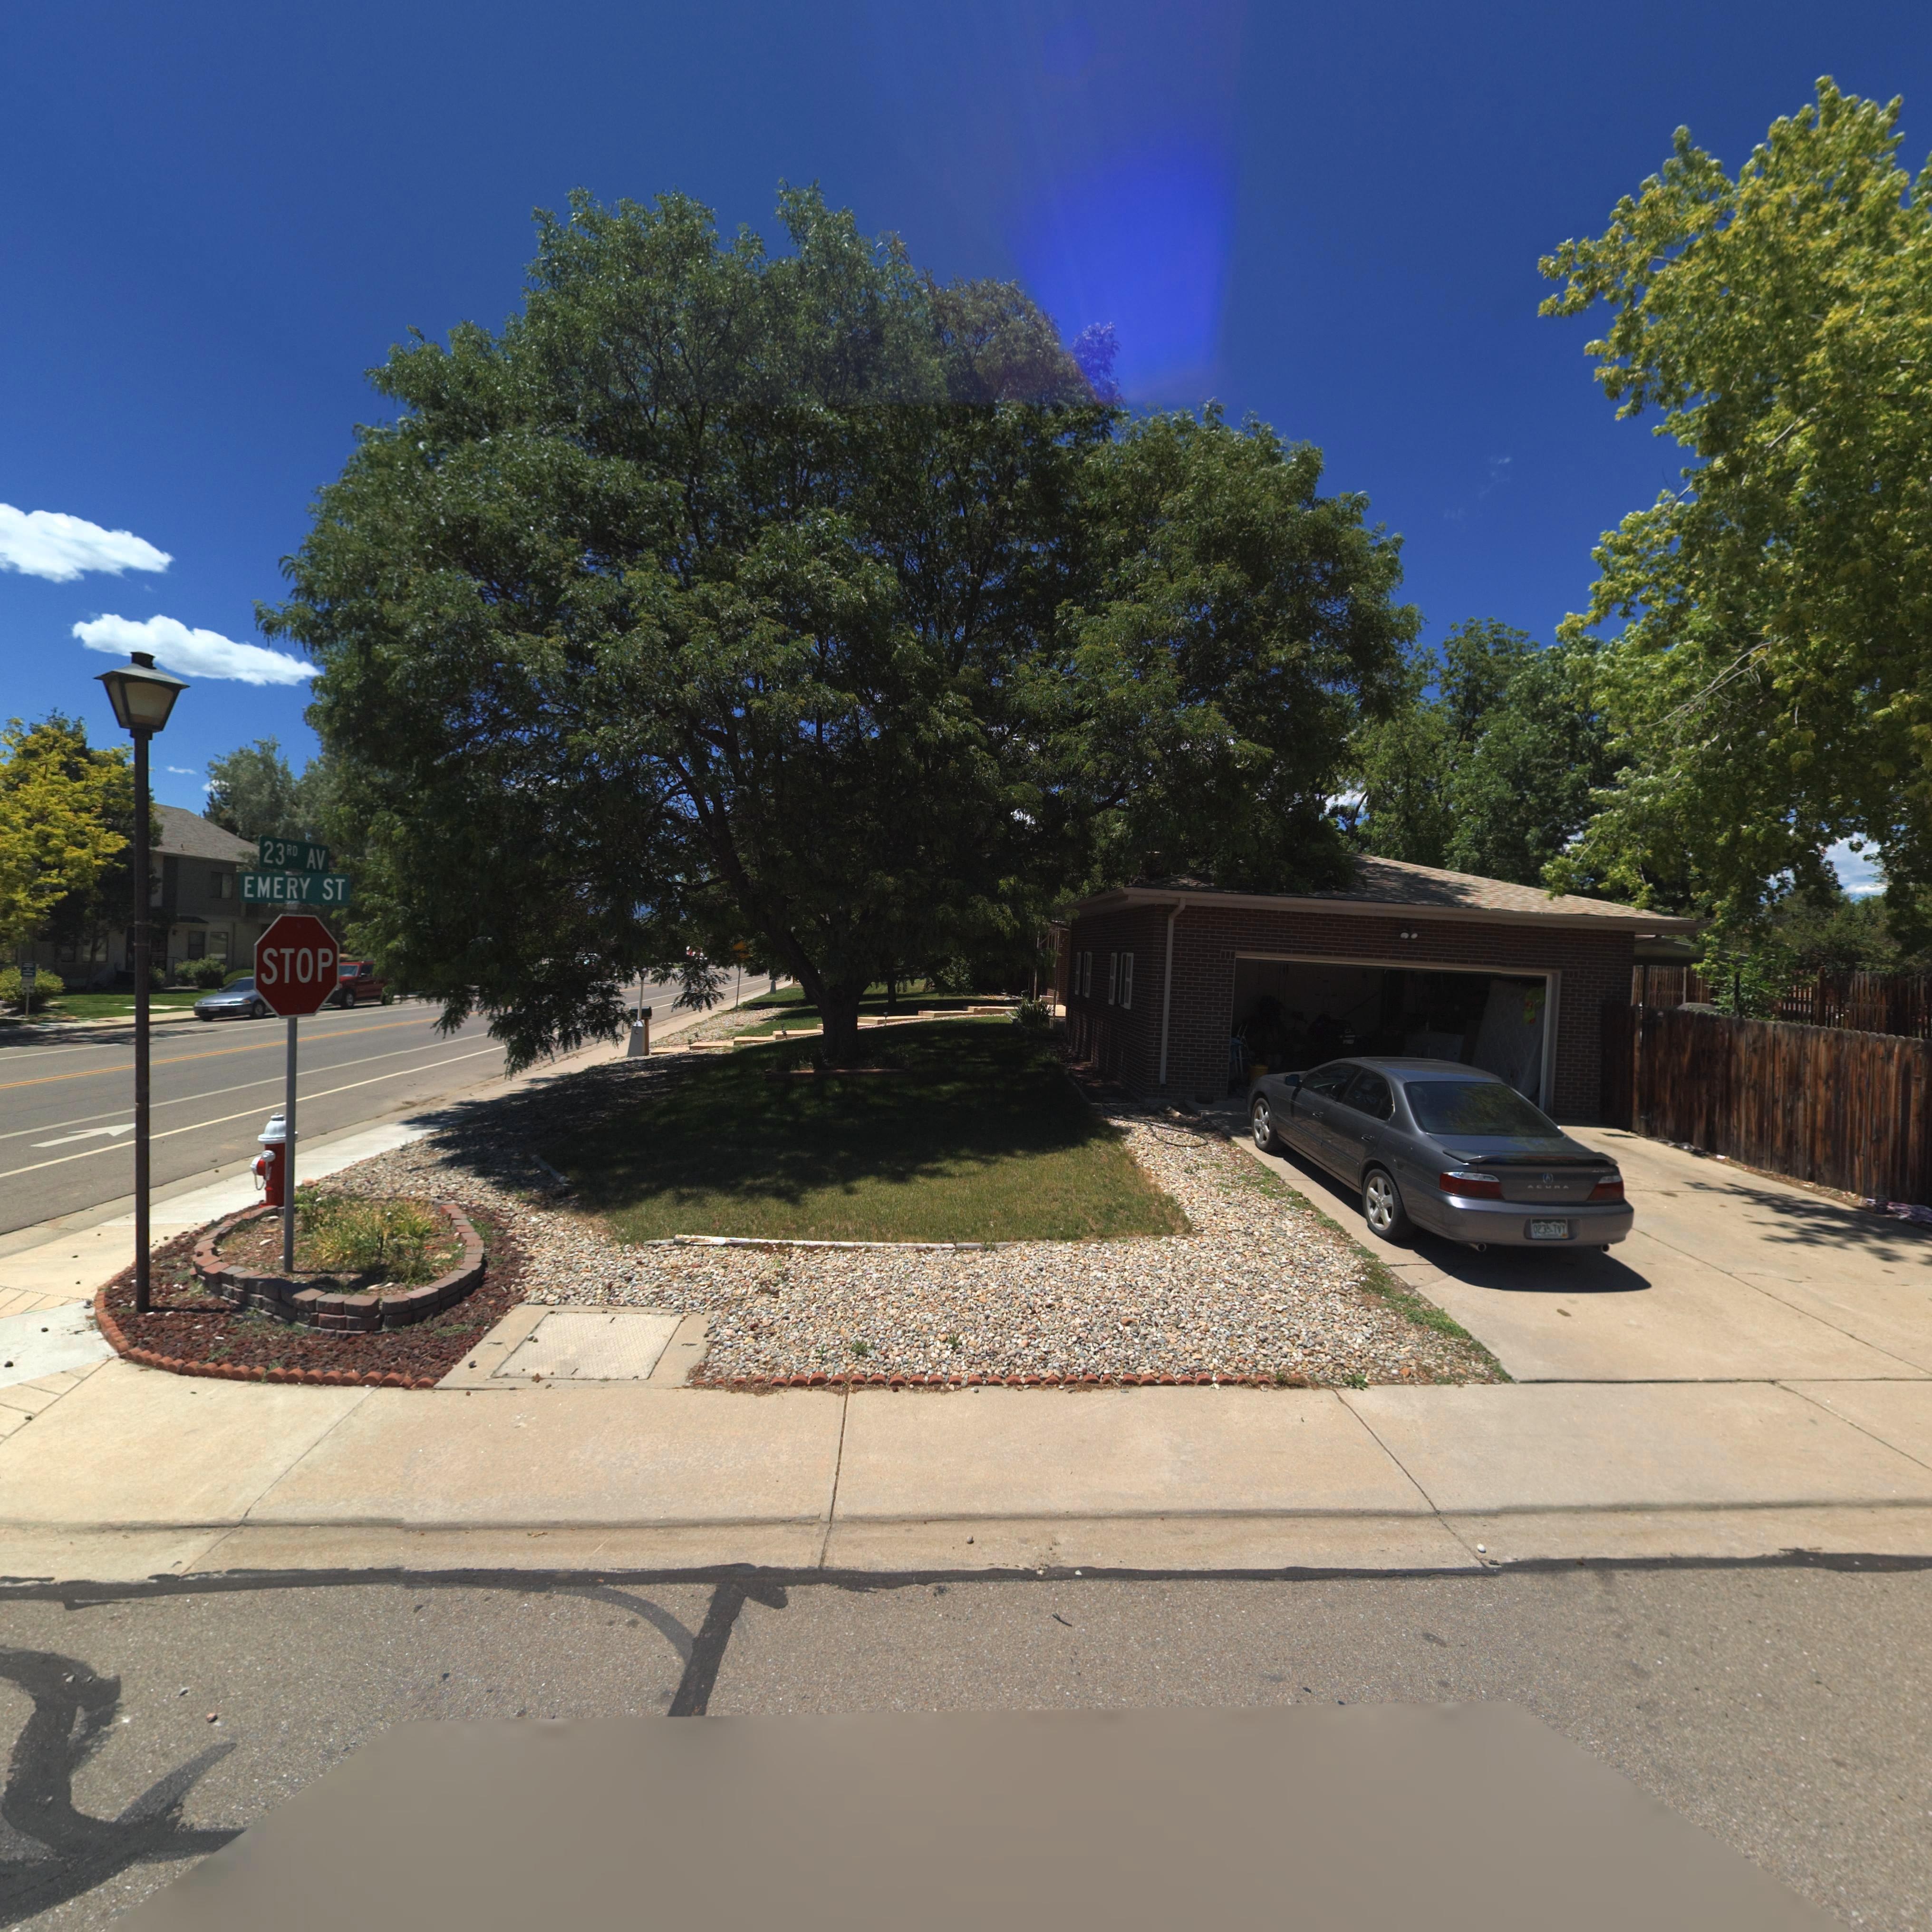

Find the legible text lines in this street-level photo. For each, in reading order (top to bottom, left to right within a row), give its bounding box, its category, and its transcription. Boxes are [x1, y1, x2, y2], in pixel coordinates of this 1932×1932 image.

[262, 840, 326, 870] StreetName: 23RD AV
[243, 875, 346, 901] StreetName: EMERY ST